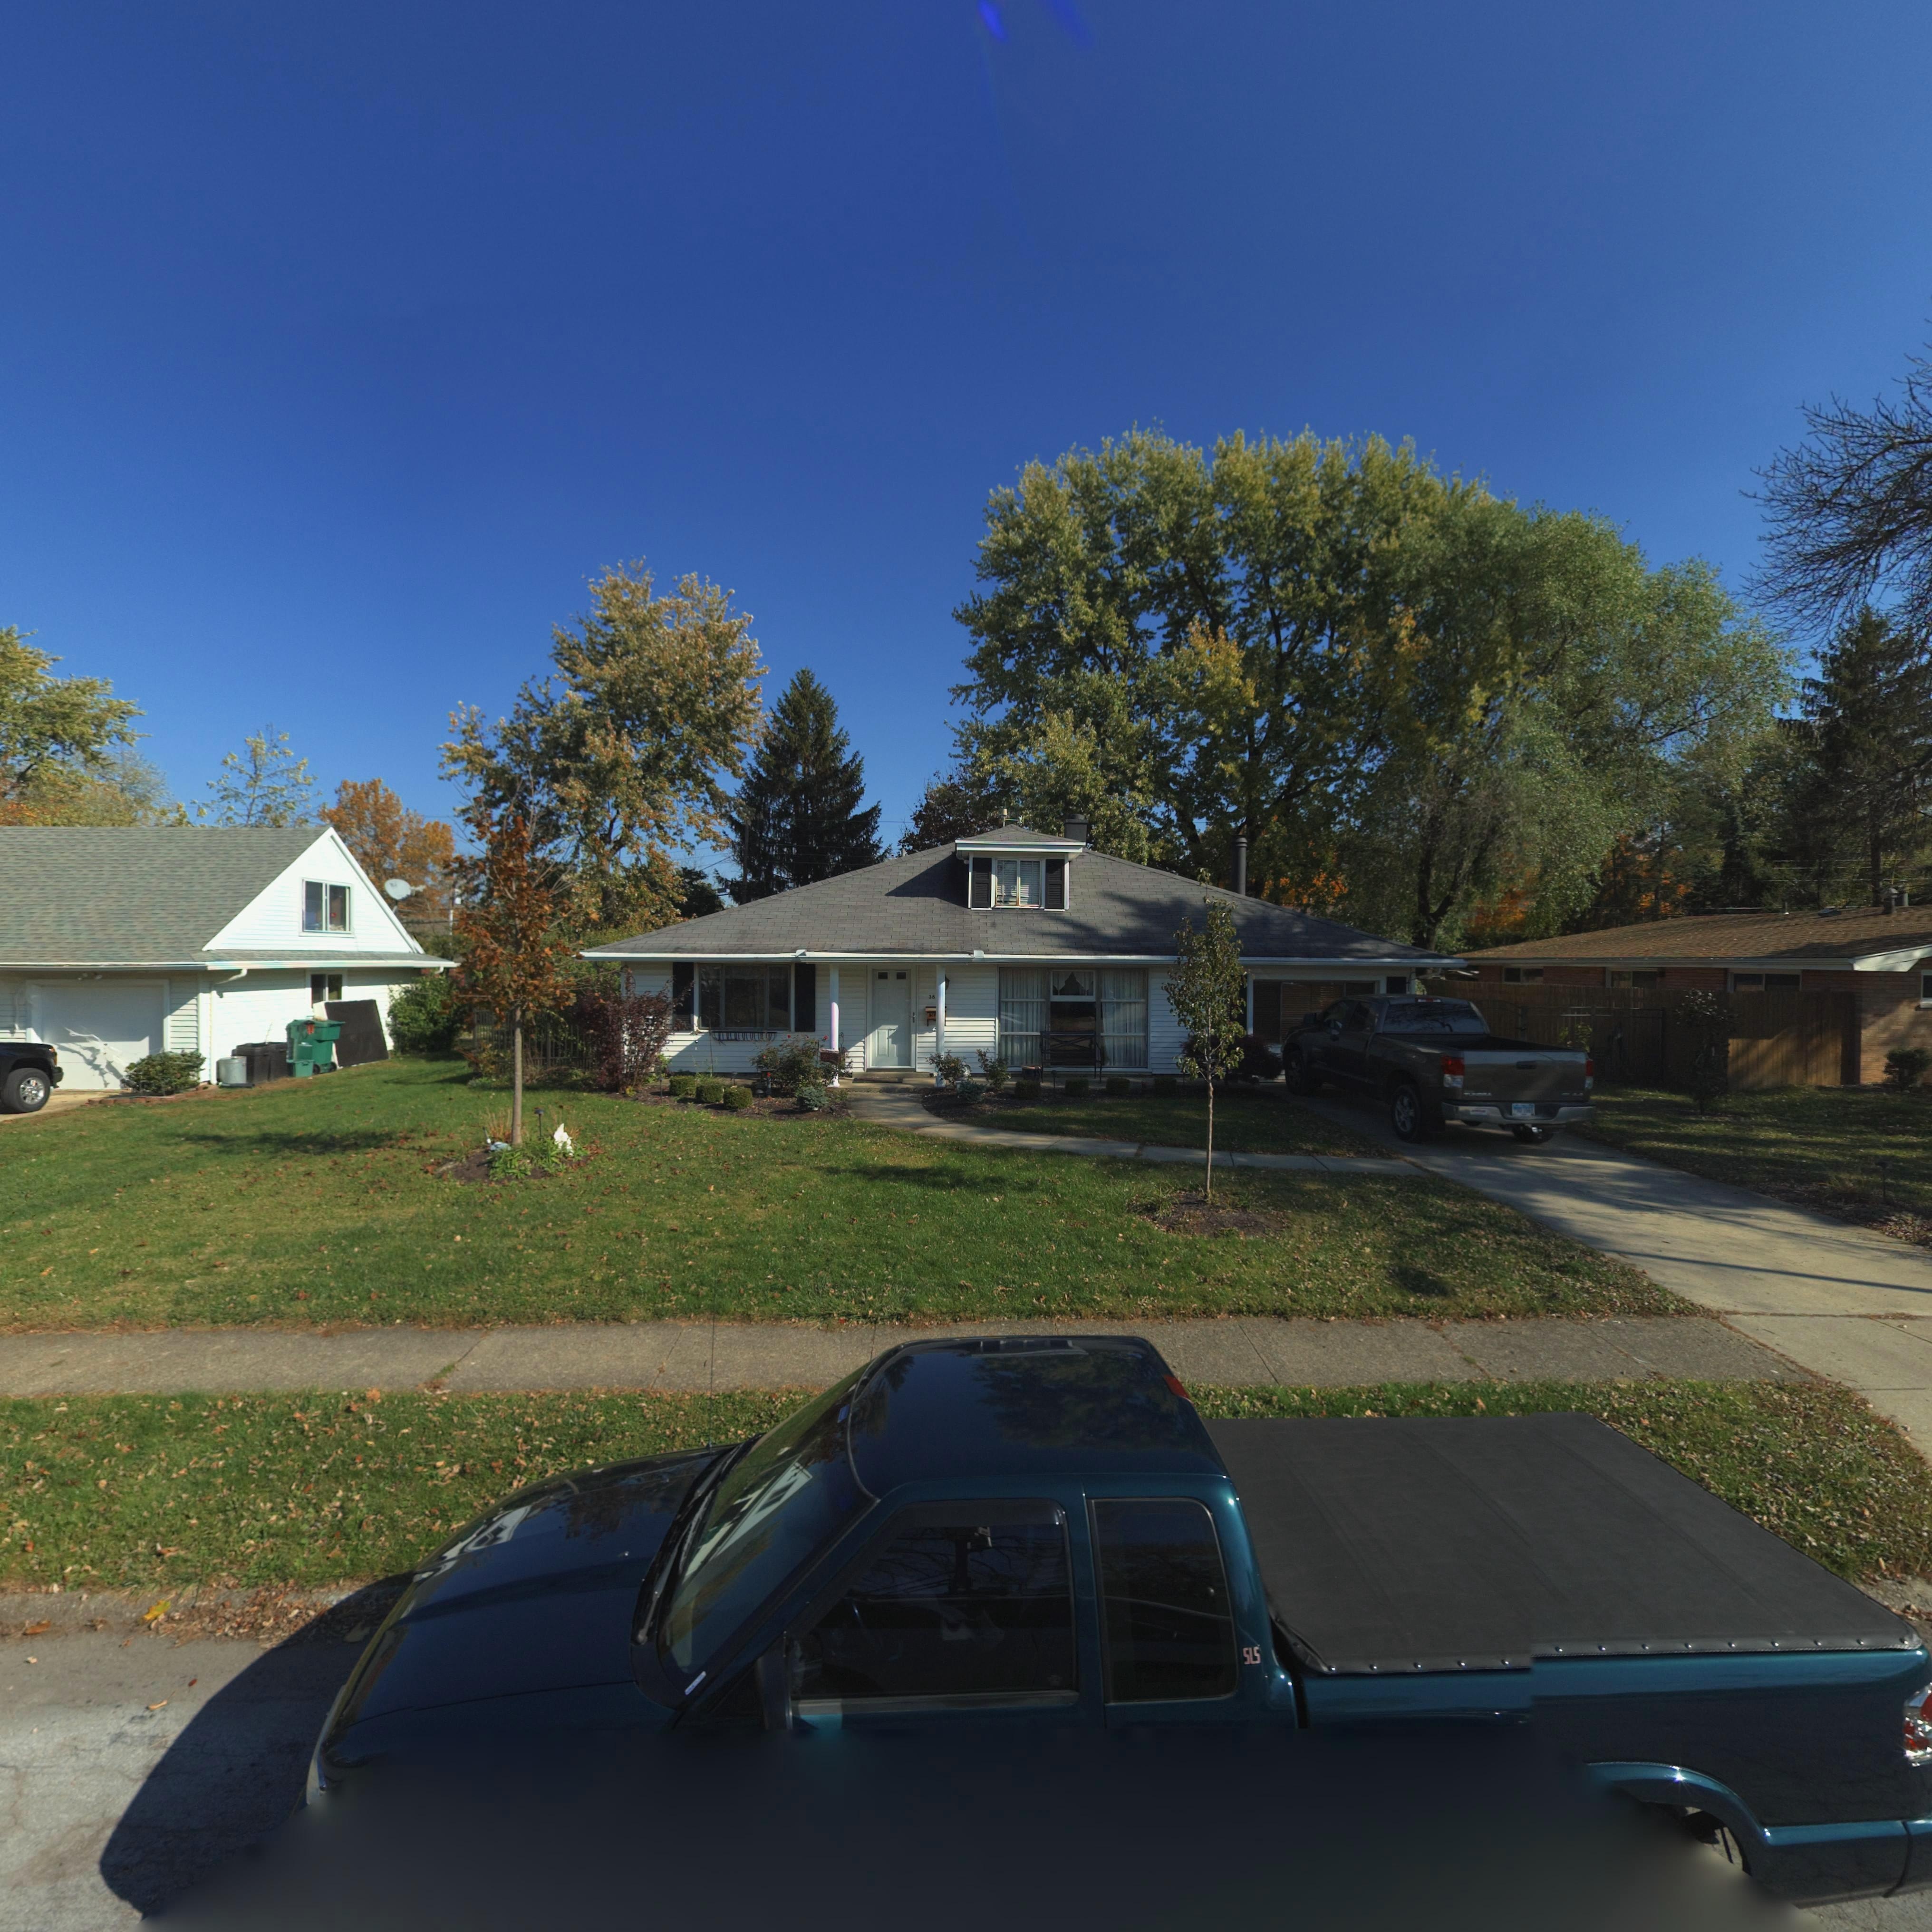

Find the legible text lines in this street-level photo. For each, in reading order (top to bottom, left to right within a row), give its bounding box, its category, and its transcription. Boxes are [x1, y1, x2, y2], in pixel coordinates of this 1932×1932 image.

[928, 994, 936, 999] StreetNumber: 38
[1463, 1092, 1493, 1097] None: TUNDRA
[1241, 1645, 1262, 1665] None: SLS